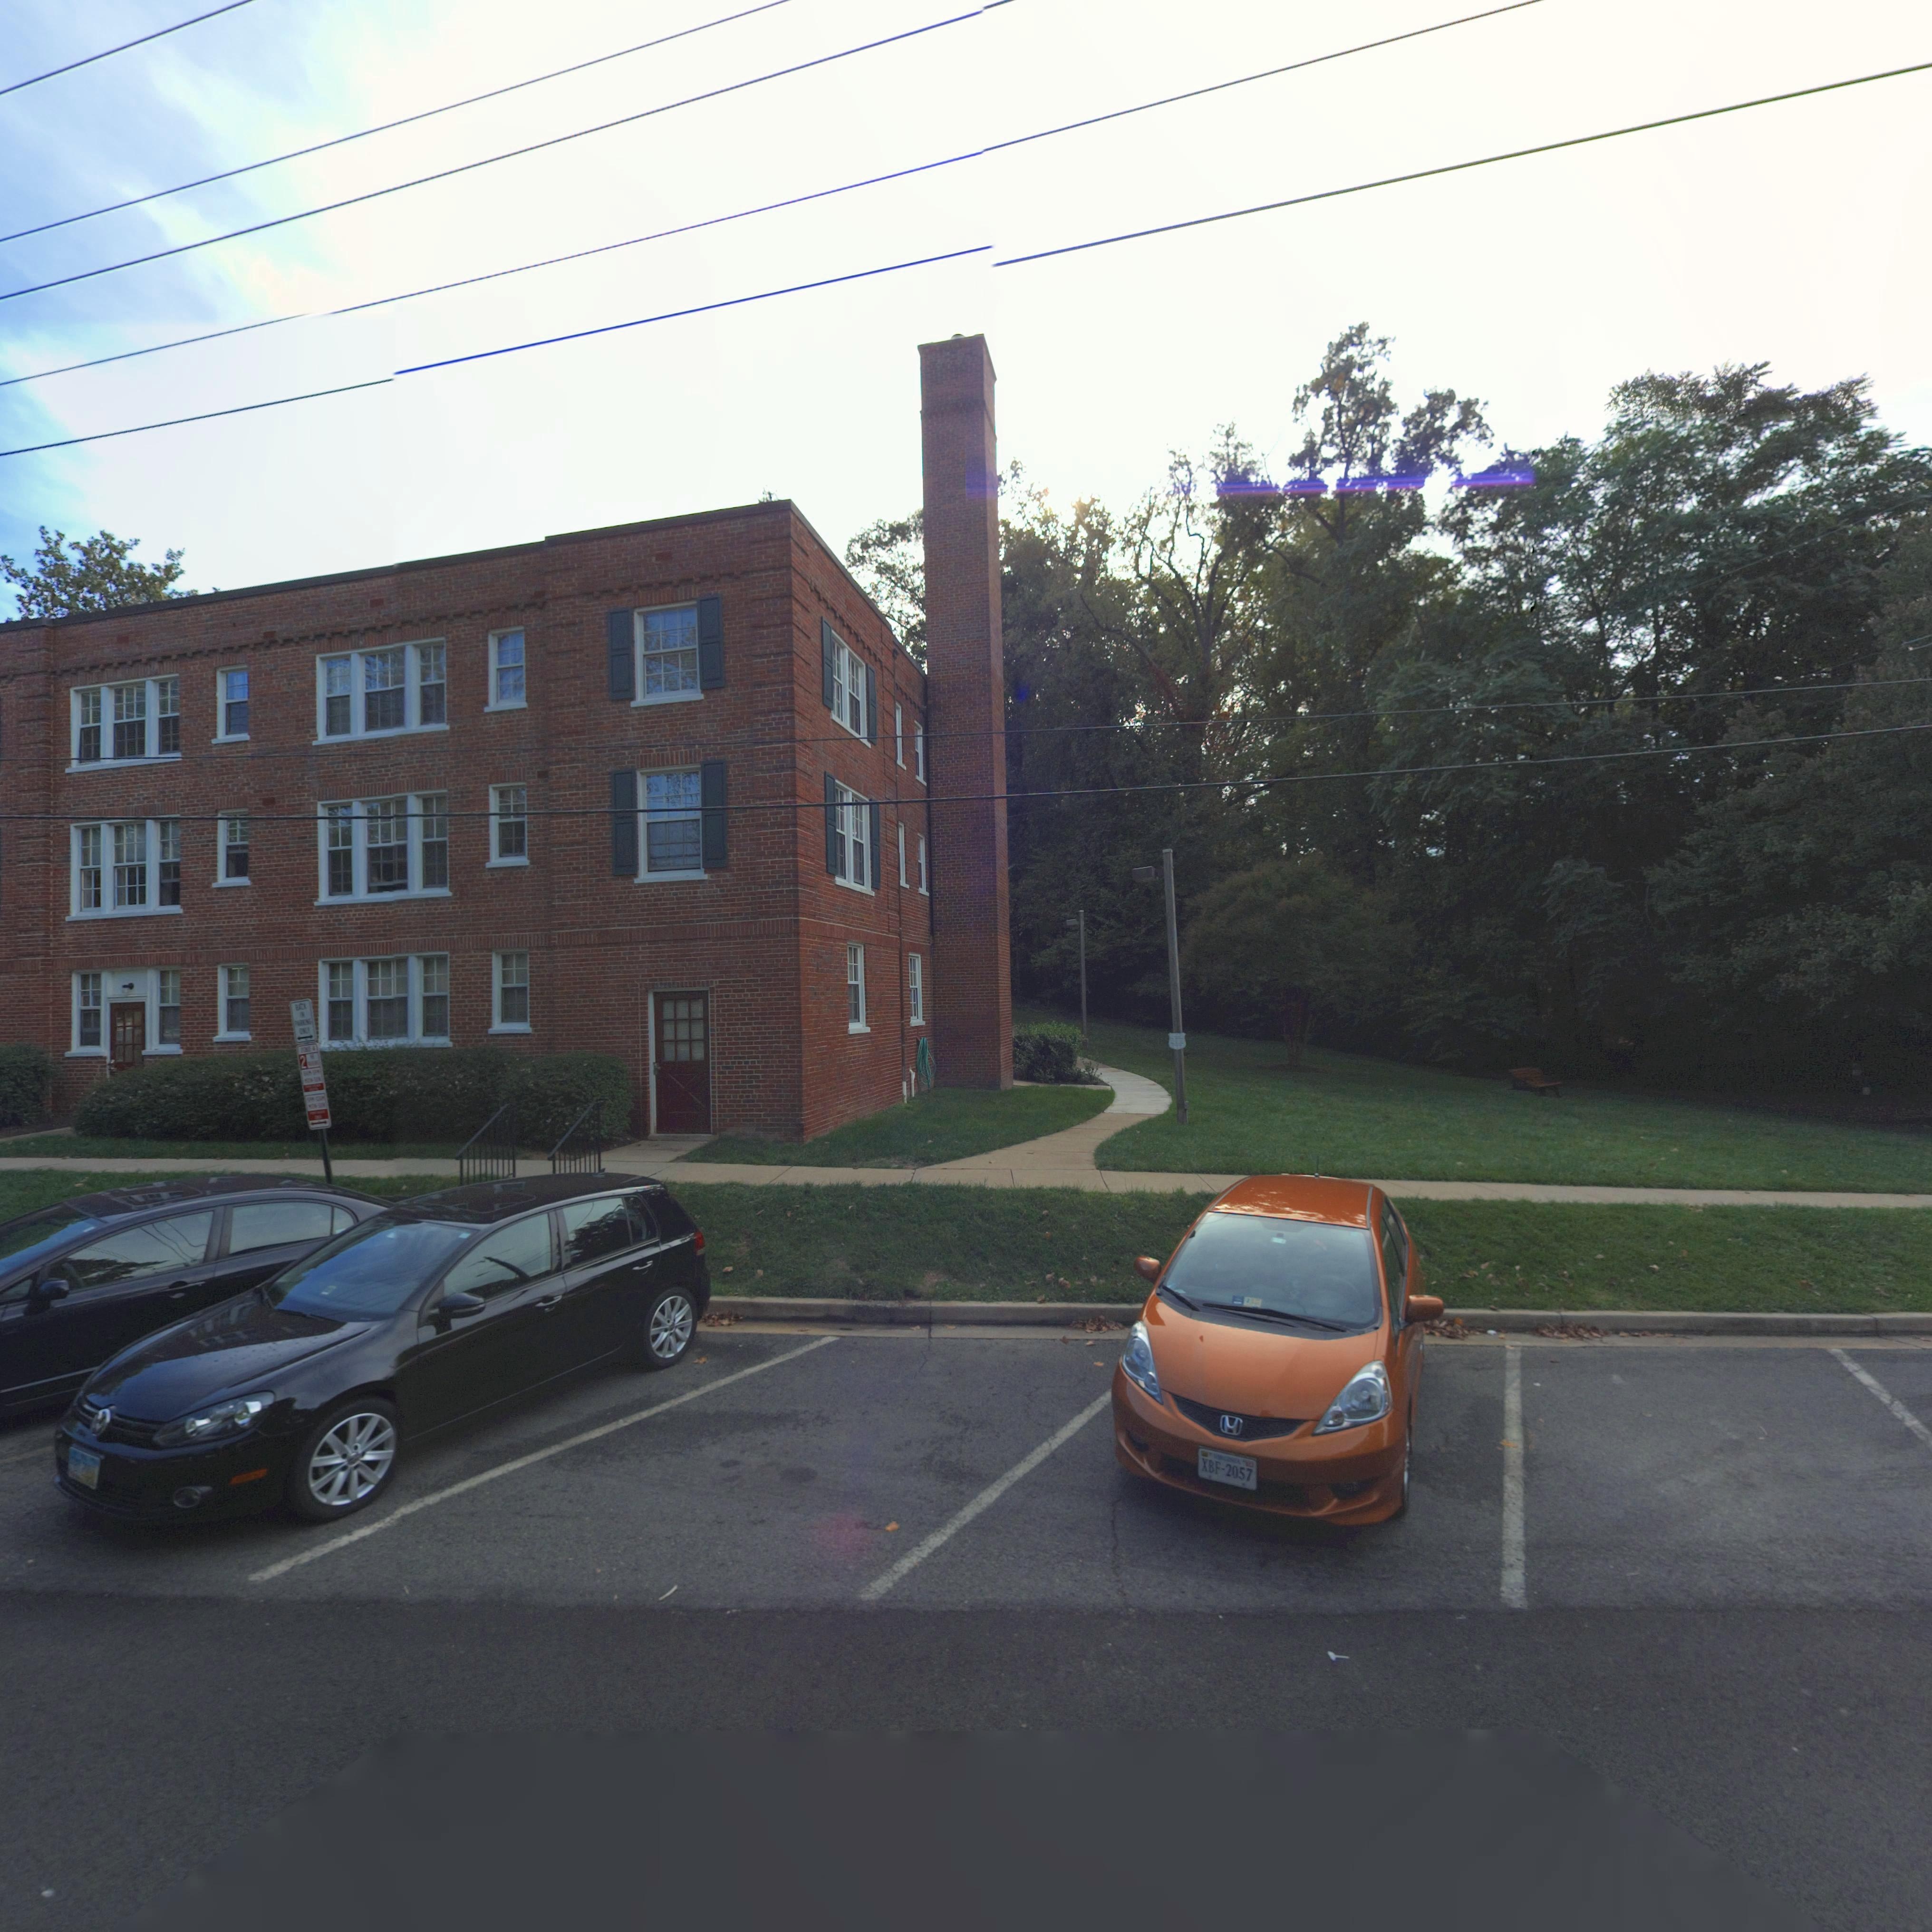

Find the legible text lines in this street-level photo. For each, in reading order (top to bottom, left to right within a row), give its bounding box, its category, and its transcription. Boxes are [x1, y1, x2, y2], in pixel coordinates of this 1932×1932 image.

[294, 1002, 308, 1012] None: BACK
[299, 1011, 306, 1019] None: IN
[294, 1017, 313, 1028] None: PARKING
[298, 1026, 311, 1036] None: ONLY
[300, 1054, 307, 1070] None: 2
[1200, 1457, 1254, 1482] None: XBF-2057